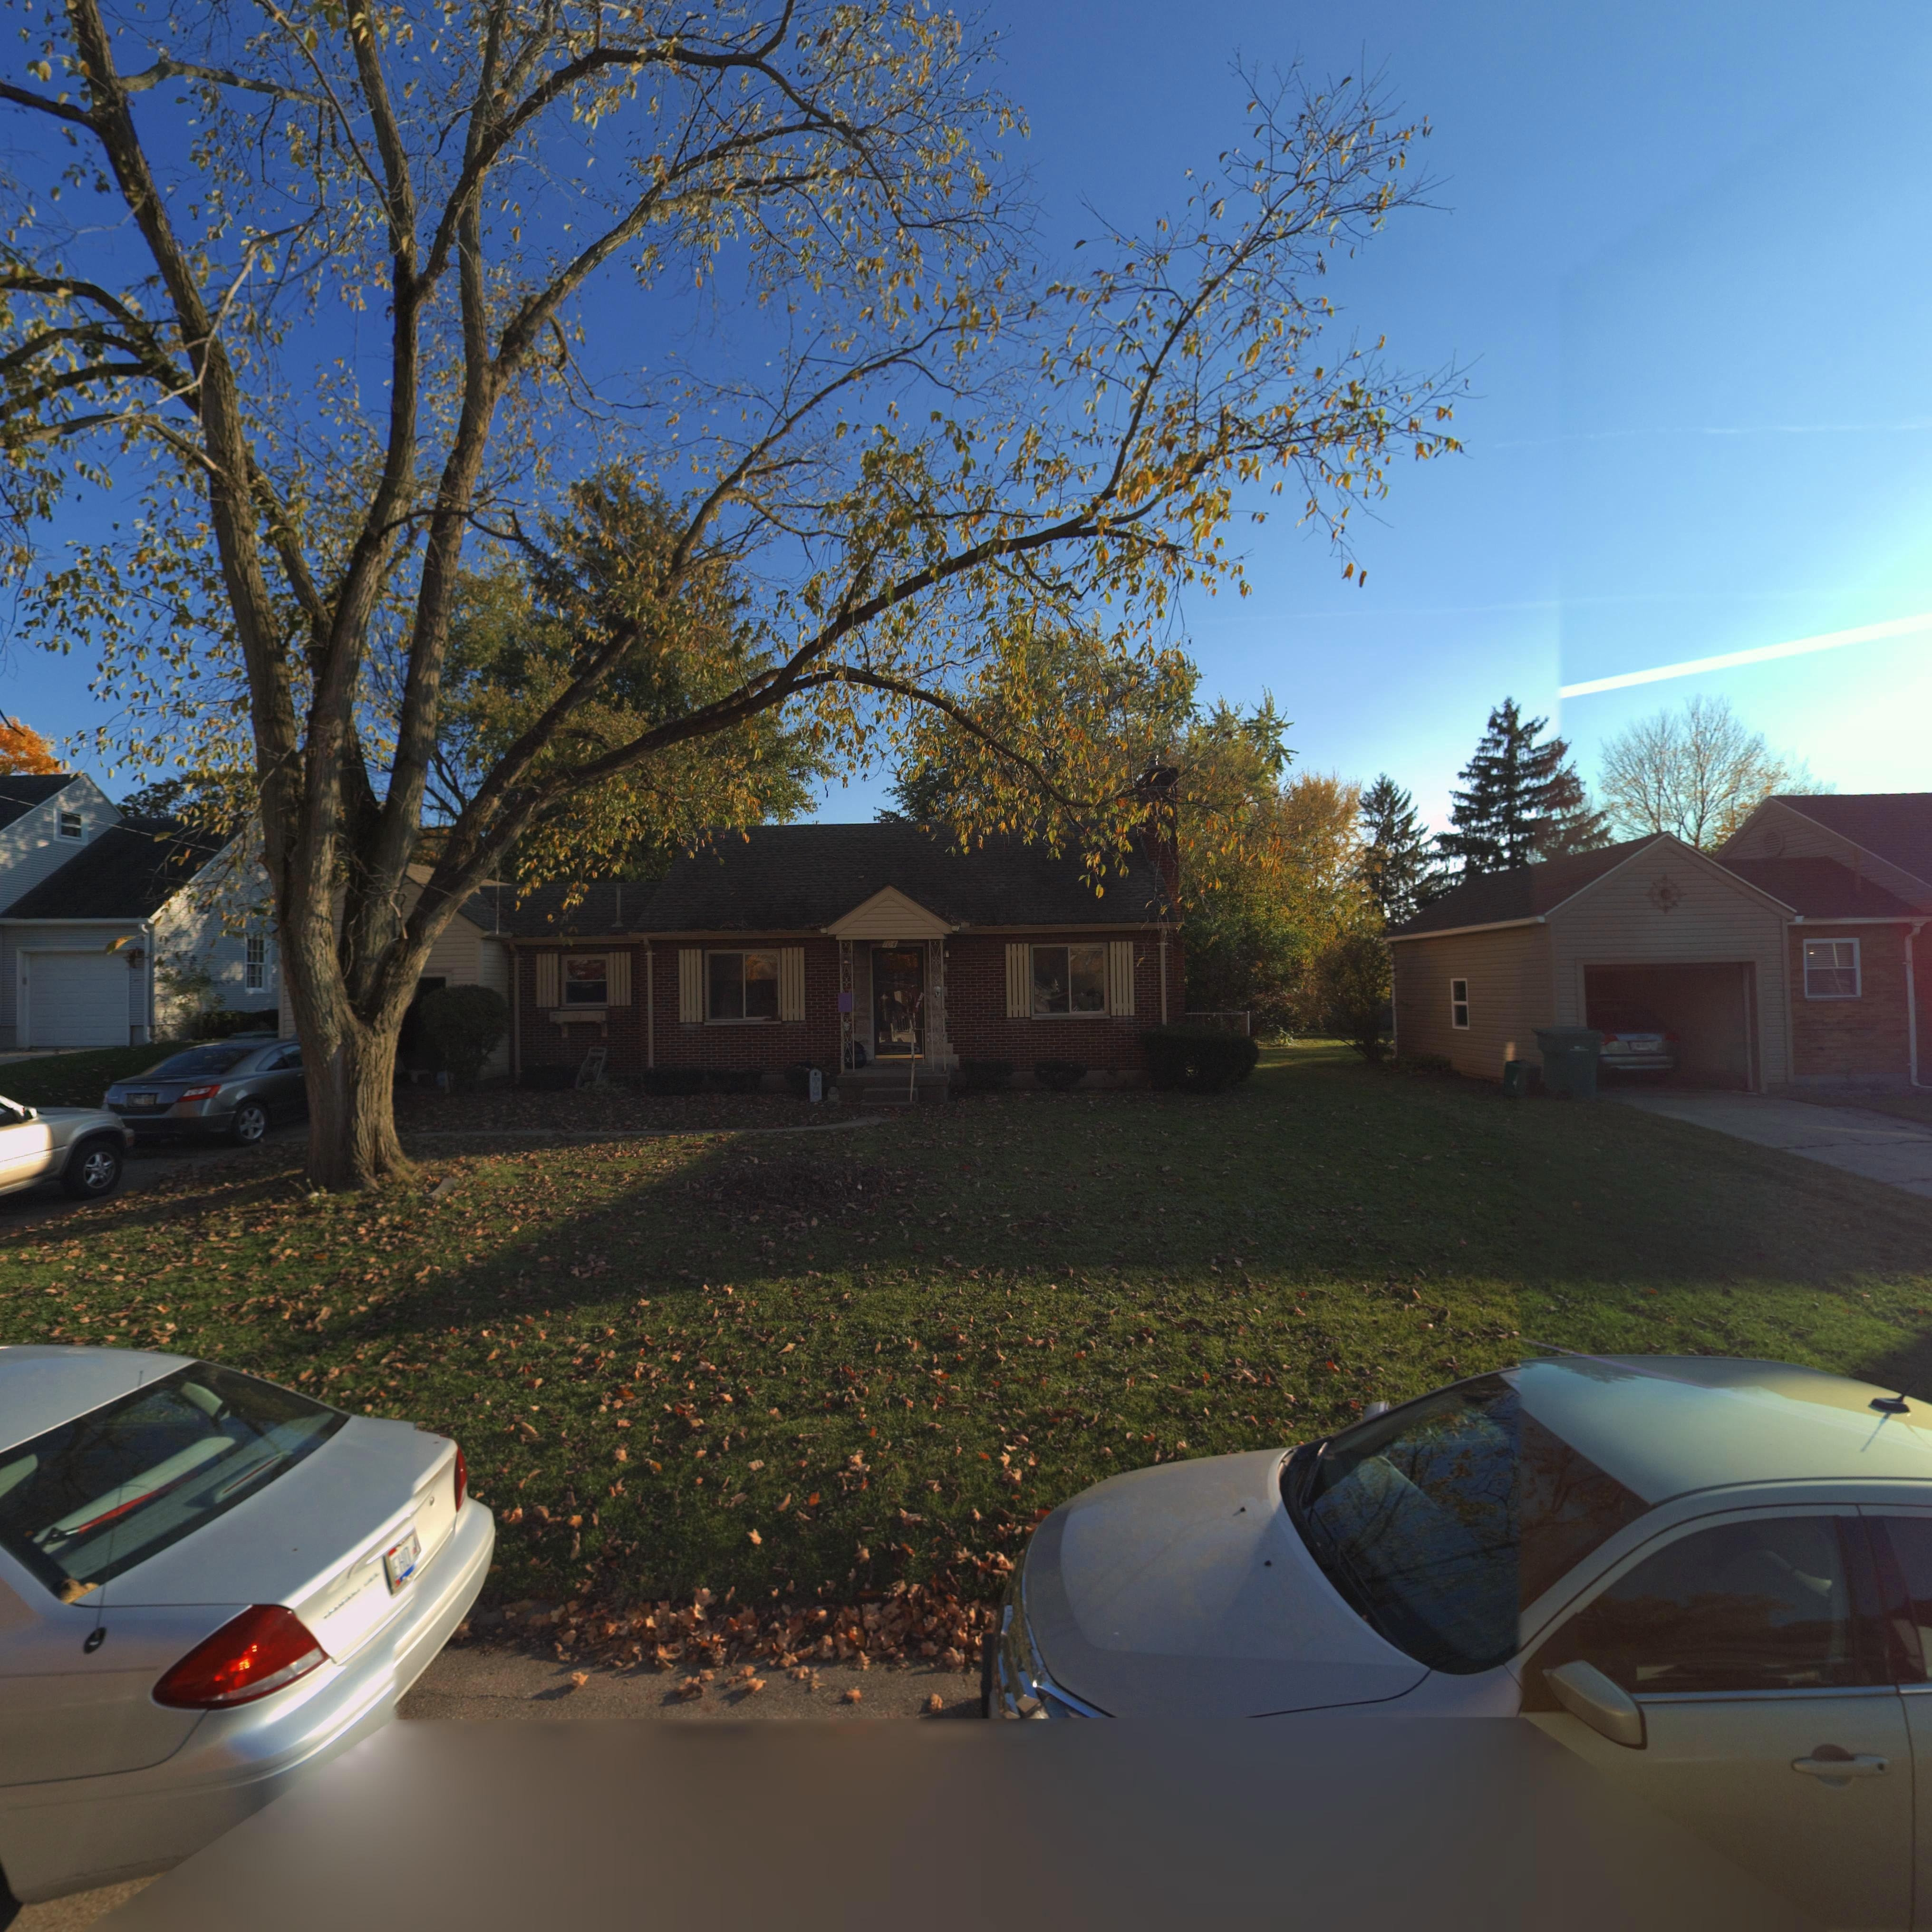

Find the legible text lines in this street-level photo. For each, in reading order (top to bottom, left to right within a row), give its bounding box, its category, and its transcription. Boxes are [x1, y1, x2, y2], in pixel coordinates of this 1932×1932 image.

[882, 940, 898, 947] StreetNumber: 104